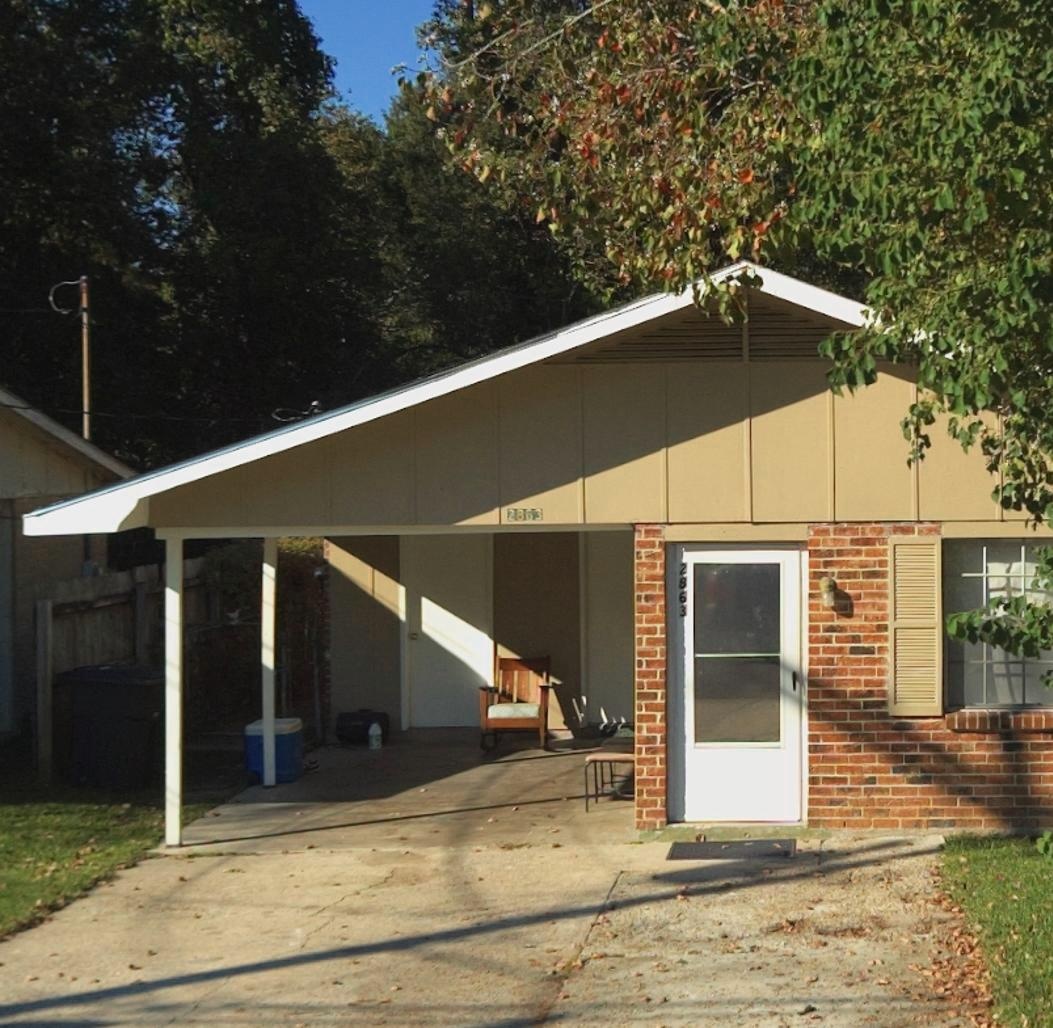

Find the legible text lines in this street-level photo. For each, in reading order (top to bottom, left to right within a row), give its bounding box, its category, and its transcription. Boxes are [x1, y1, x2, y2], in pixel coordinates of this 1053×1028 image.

[507, 507, 544, 522] StreetNumber: 2863
[678, 561, 689, 619] StreetNumber: 2863